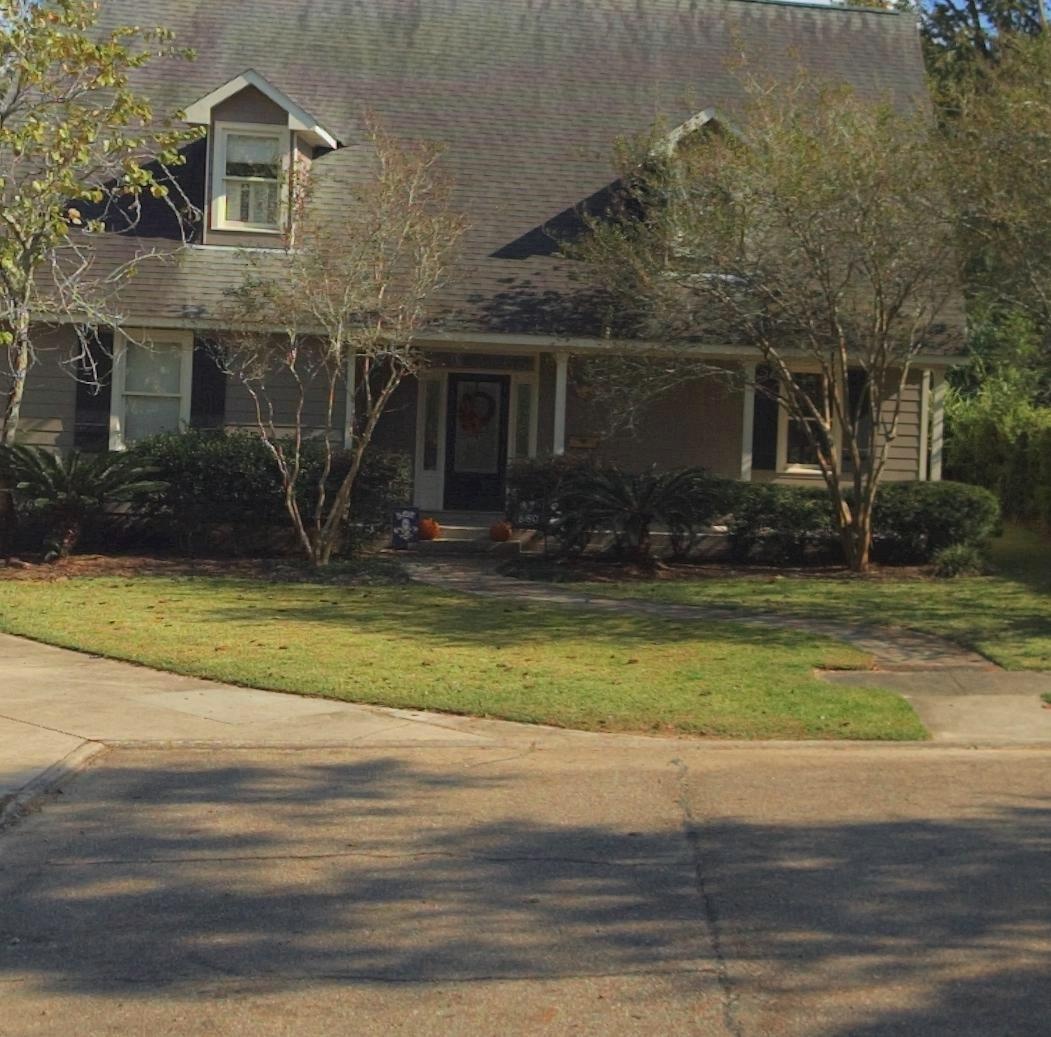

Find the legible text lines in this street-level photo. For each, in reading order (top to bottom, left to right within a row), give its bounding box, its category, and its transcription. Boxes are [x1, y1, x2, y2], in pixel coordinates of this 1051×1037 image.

[517, 514, 539, 524] StreetNumber: 680